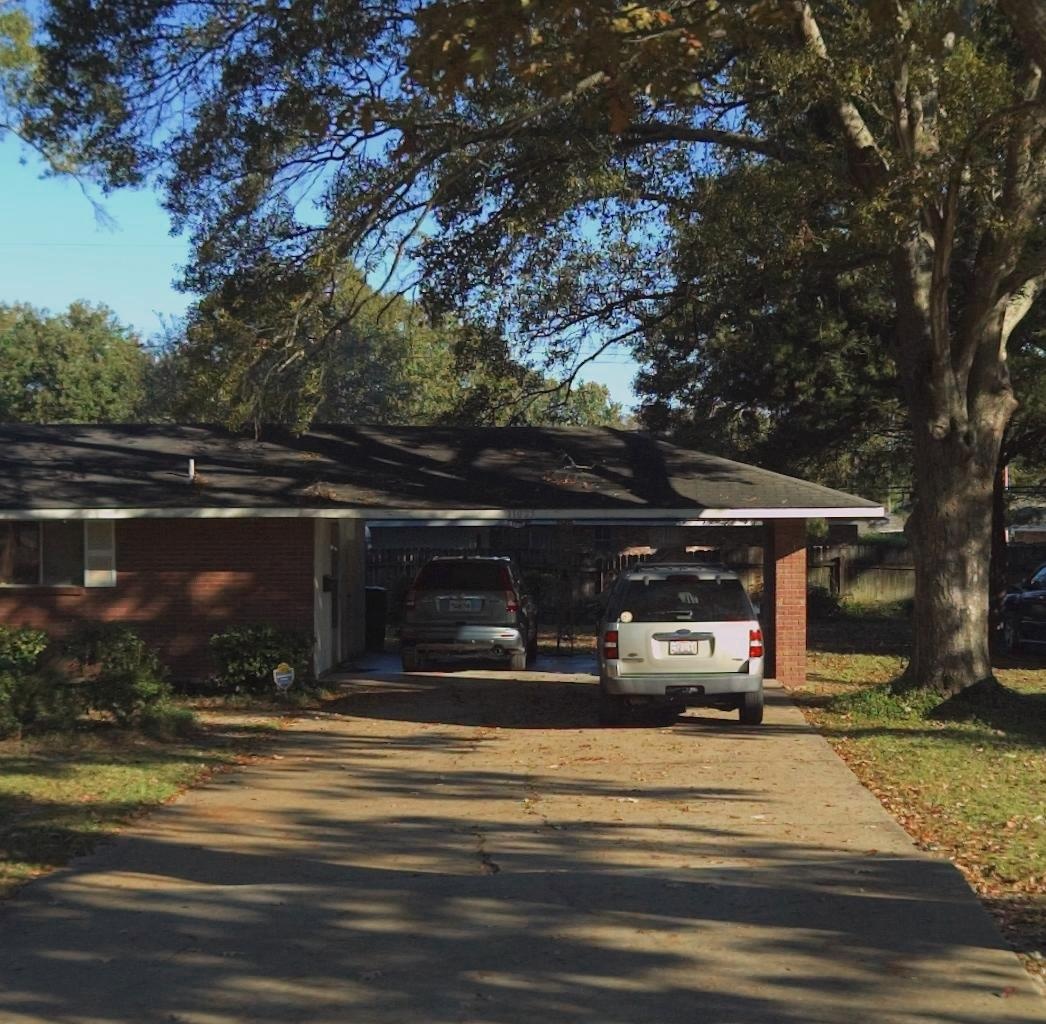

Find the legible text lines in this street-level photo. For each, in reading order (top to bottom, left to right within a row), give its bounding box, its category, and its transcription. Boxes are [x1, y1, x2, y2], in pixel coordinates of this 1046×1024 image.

[506, 508, 537, 520] StreetNumber: 110**